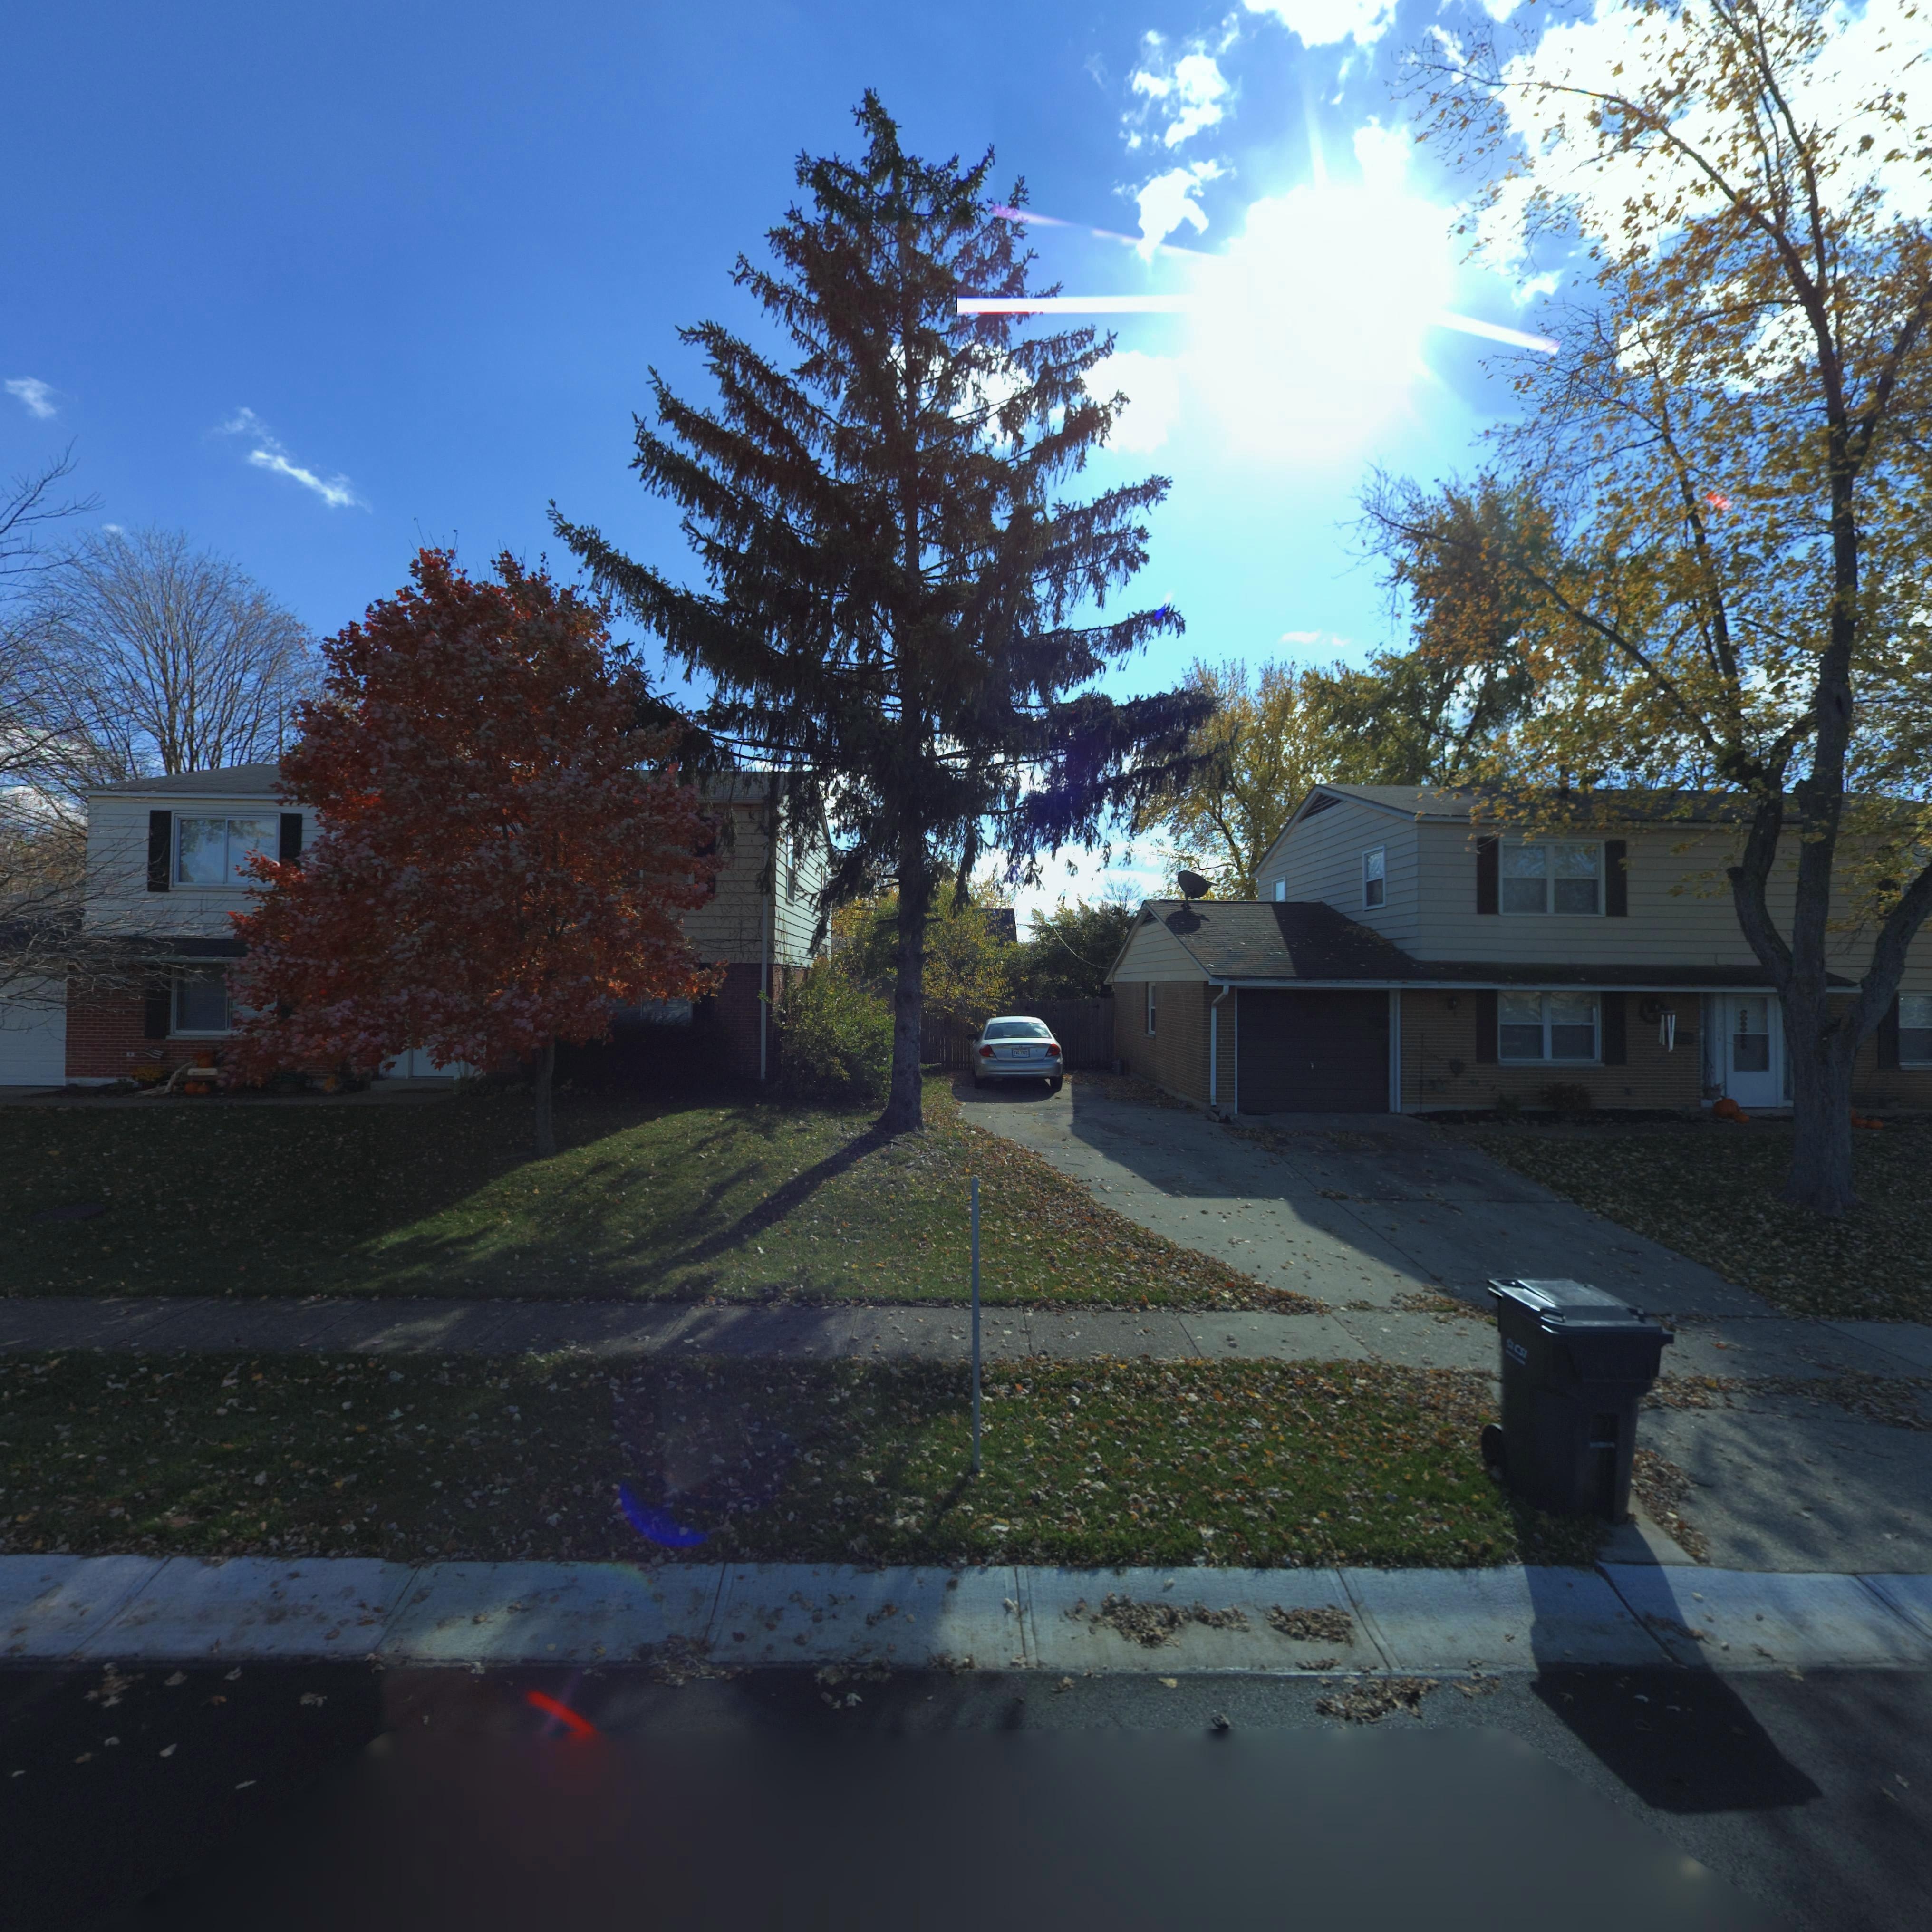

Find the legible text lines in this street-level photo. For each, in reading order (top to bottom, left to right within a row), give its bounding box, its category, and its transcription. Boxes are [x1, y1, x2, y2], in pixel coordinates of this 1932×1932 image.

[1715, 1008, 1723, 1036] StreetNumber: 7***